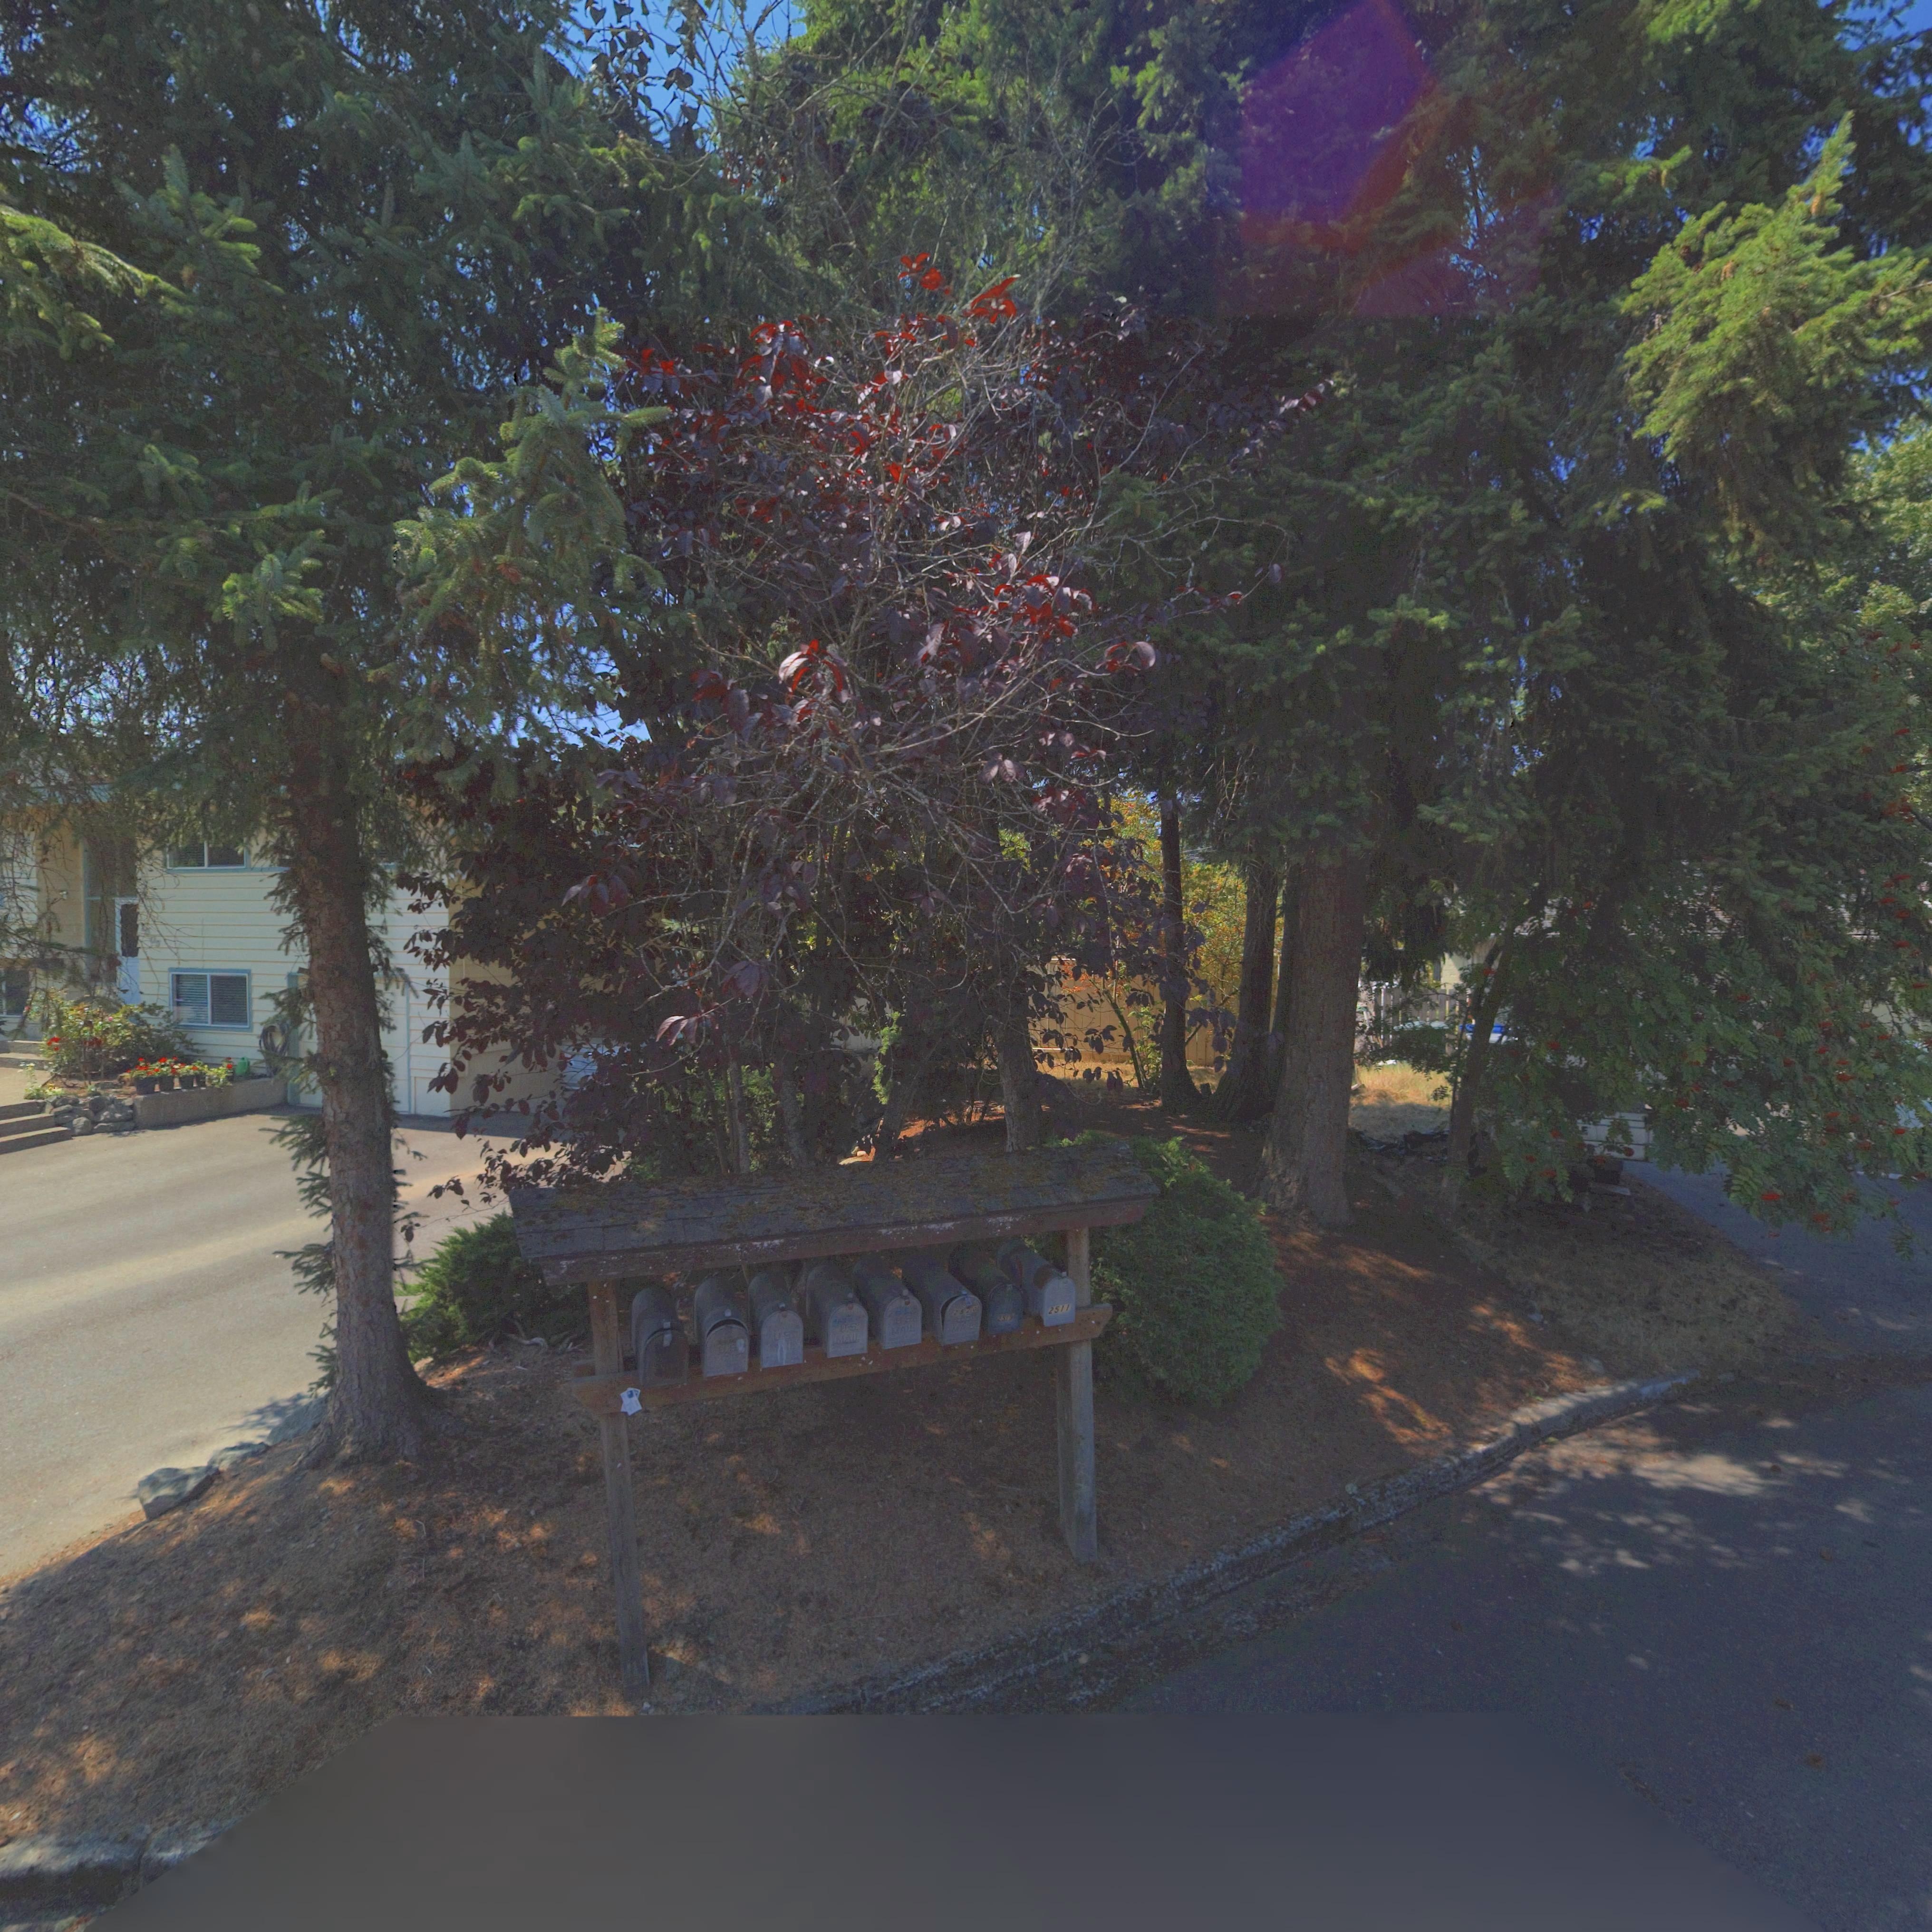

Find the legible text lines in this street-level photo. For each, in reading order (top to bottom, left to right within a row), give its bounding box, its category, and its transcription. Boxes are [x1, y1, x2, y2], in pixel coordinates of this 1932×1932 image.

[1049, 1303, 1070, 1314] StreetNumber: 2511